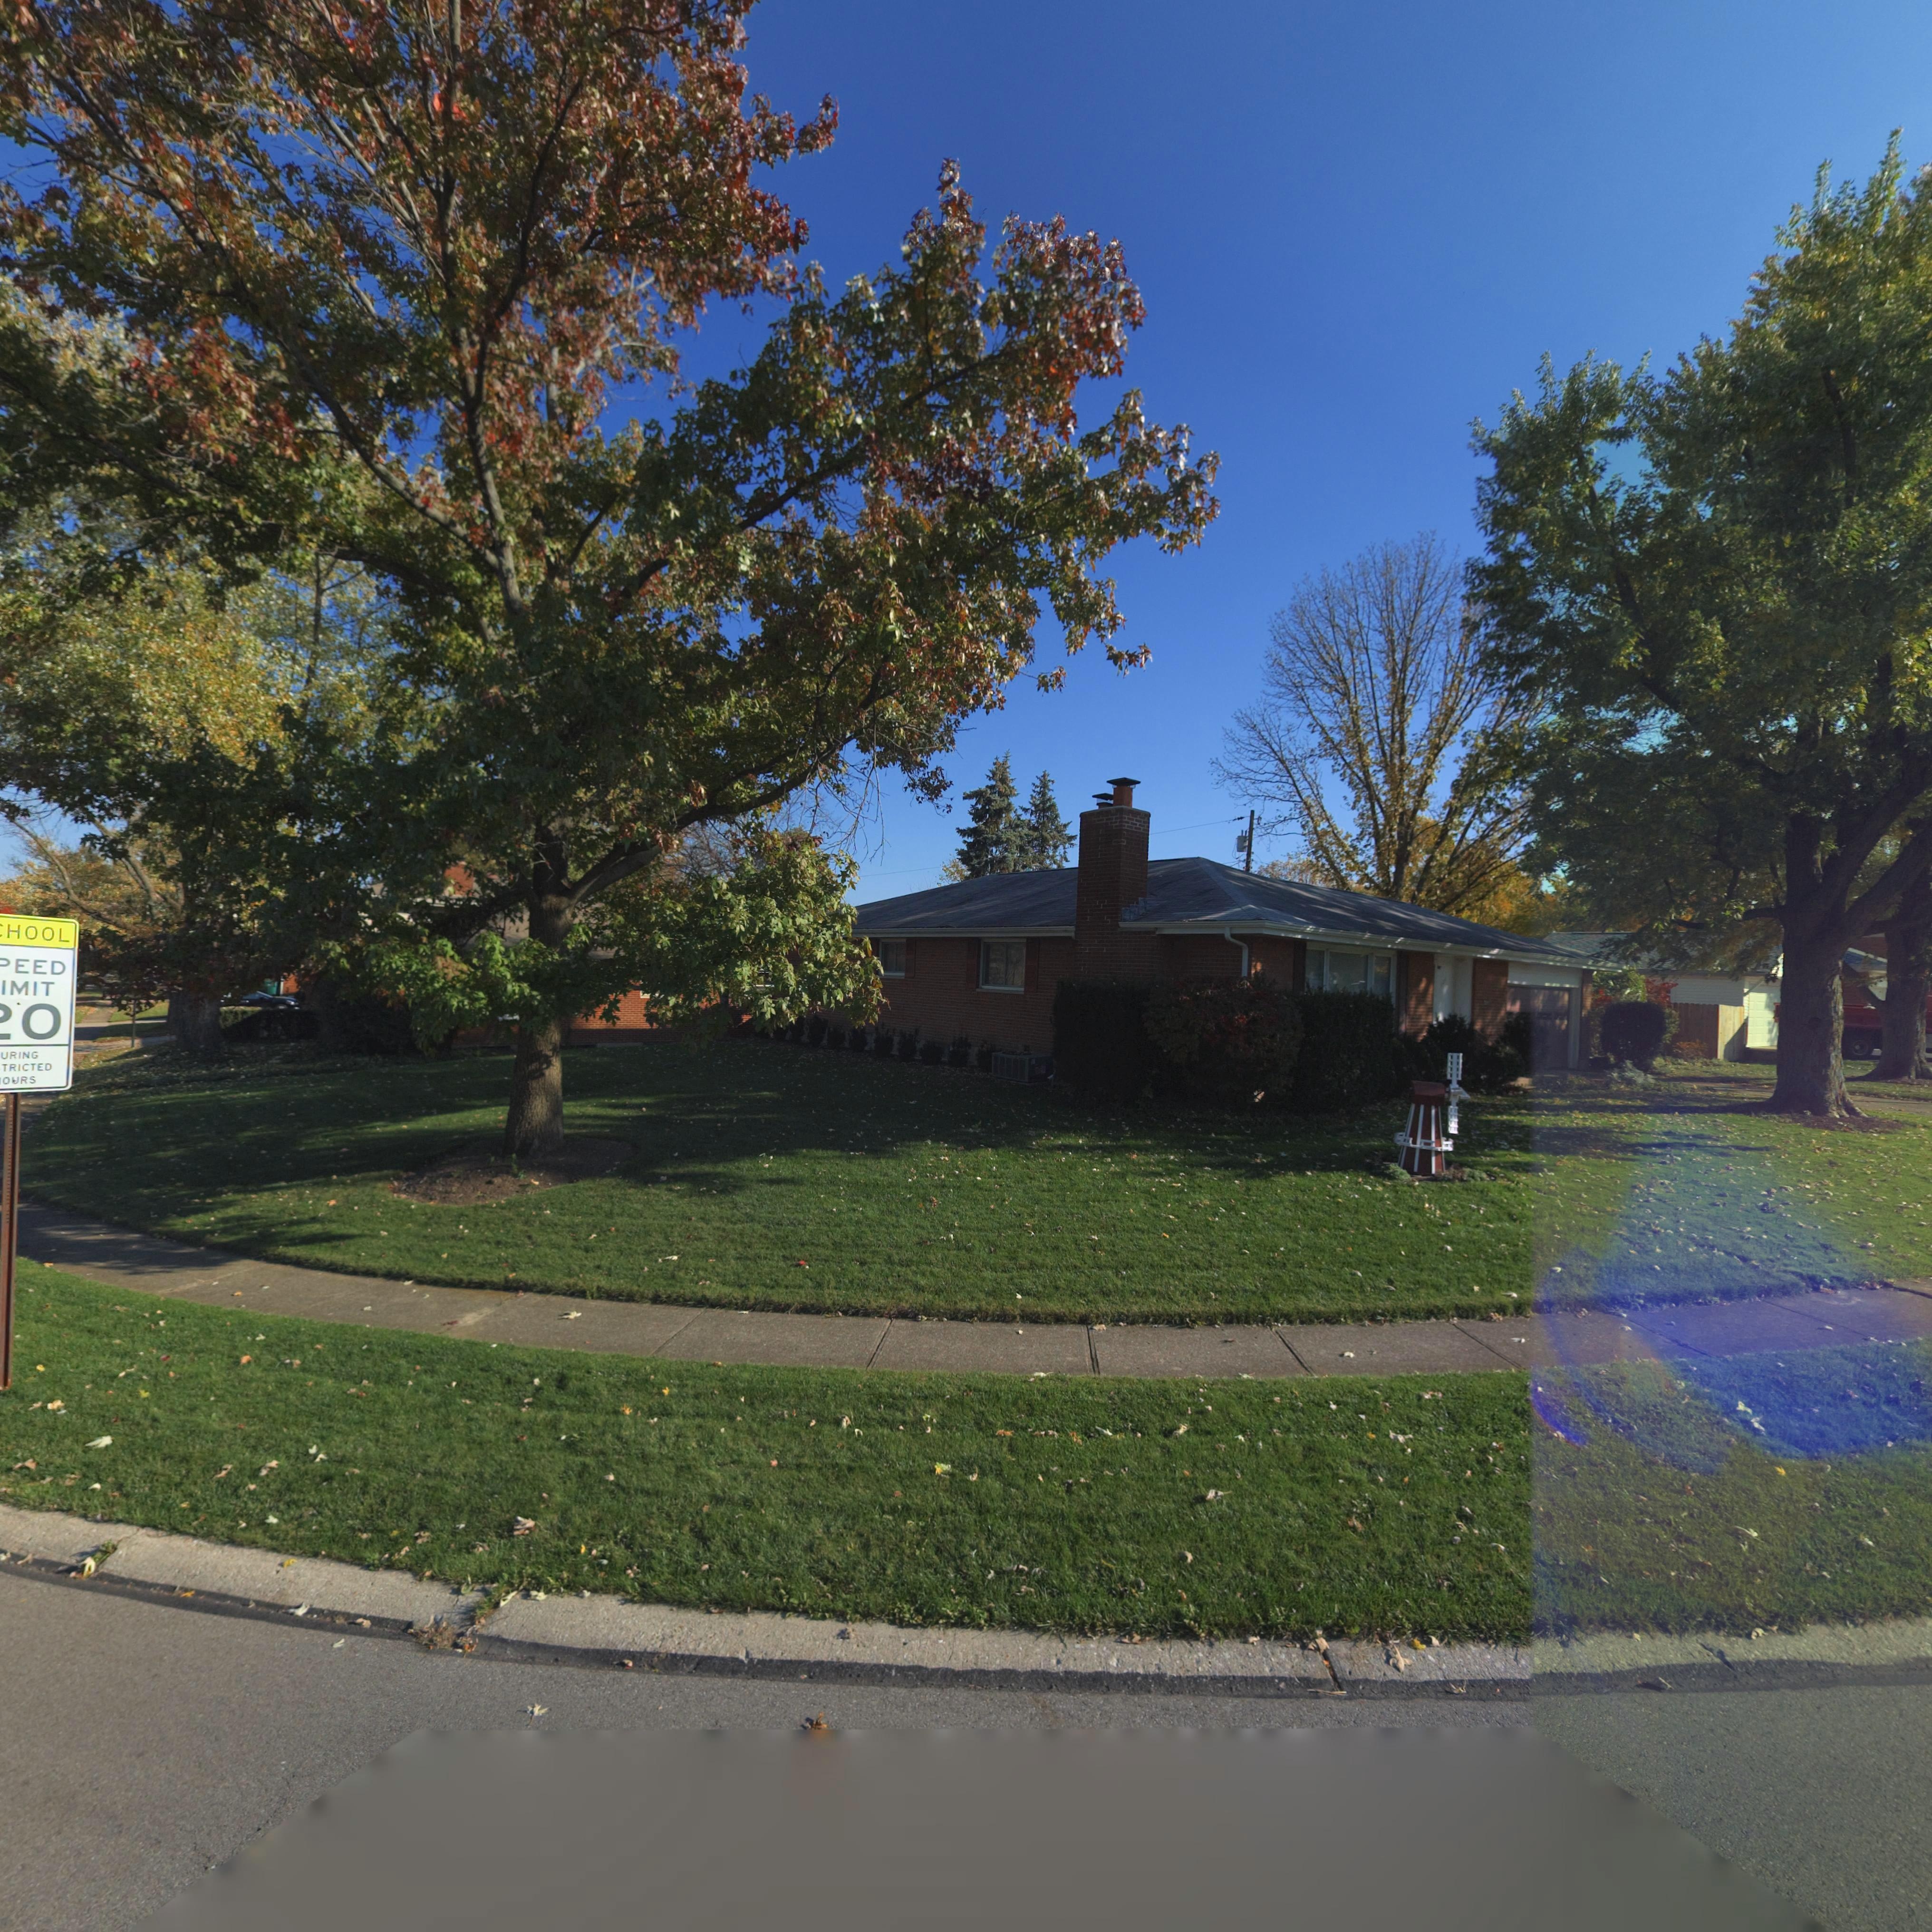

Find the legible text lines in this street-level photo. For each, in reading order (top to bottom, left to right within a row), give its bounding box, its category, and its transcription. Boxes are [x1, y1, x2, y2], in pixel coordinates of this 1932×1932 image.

[1440, 976, 1449, 988] StreetNumber: 6**